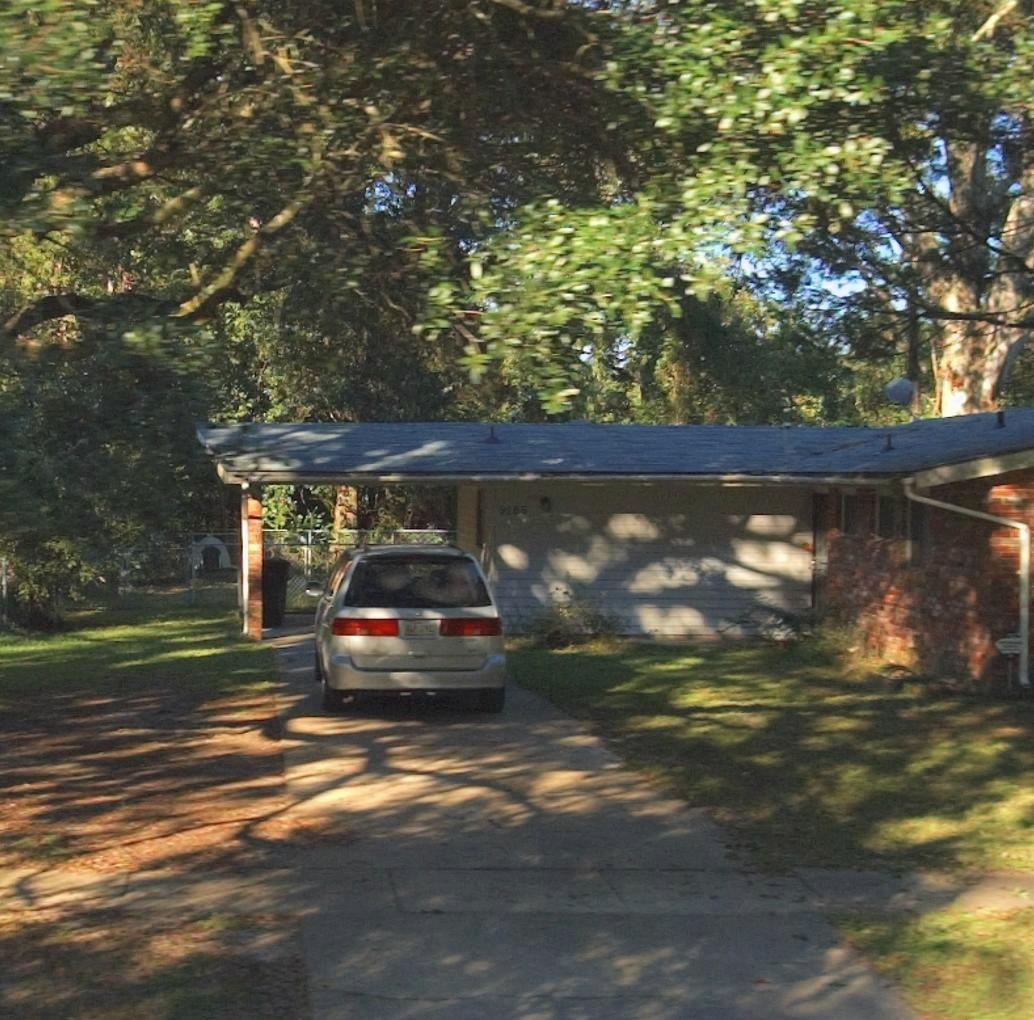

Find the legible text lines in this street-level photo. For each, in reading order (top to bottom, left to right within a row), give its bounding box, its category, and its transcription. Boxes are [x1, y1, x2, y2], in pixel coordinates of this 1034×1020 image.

[498, 505, 528, 516] StreetNumber: 9165